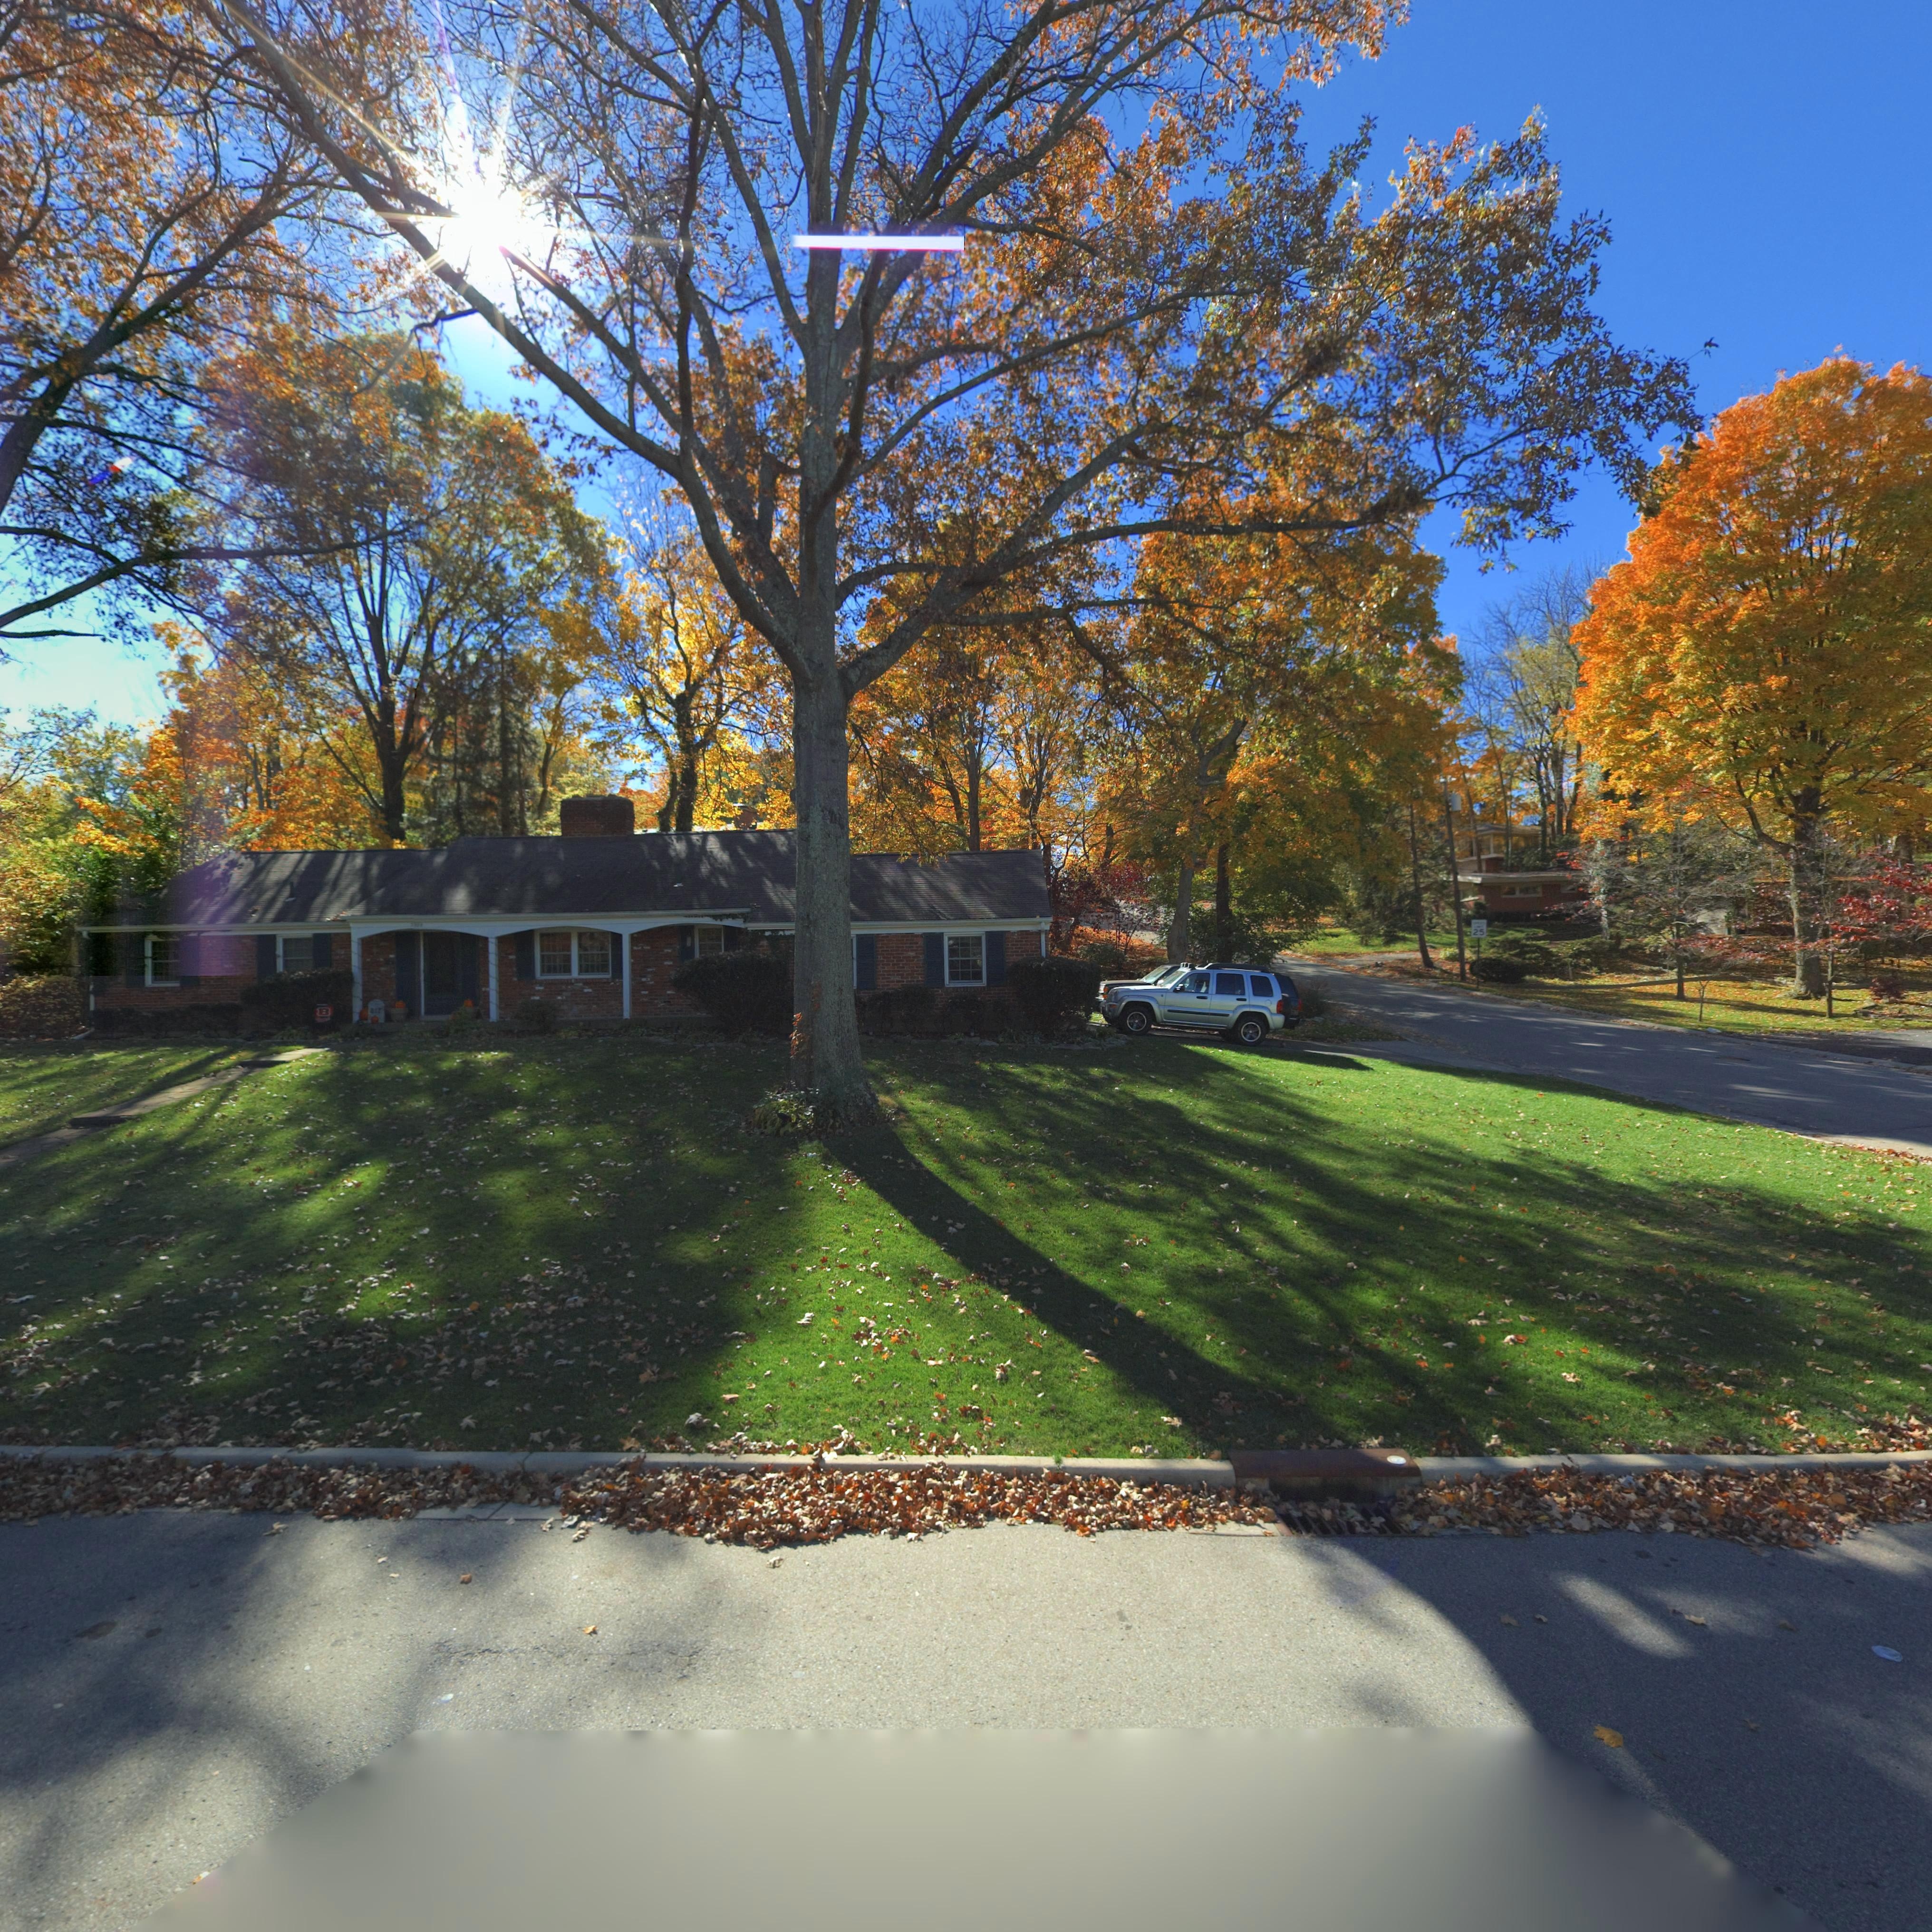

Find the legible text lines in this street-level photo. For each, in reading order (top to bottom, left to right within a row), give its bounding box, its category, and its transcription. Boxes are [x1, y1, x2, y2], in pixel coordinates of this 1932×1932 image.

[409, 921, 414, 927] StreetNumber: 3